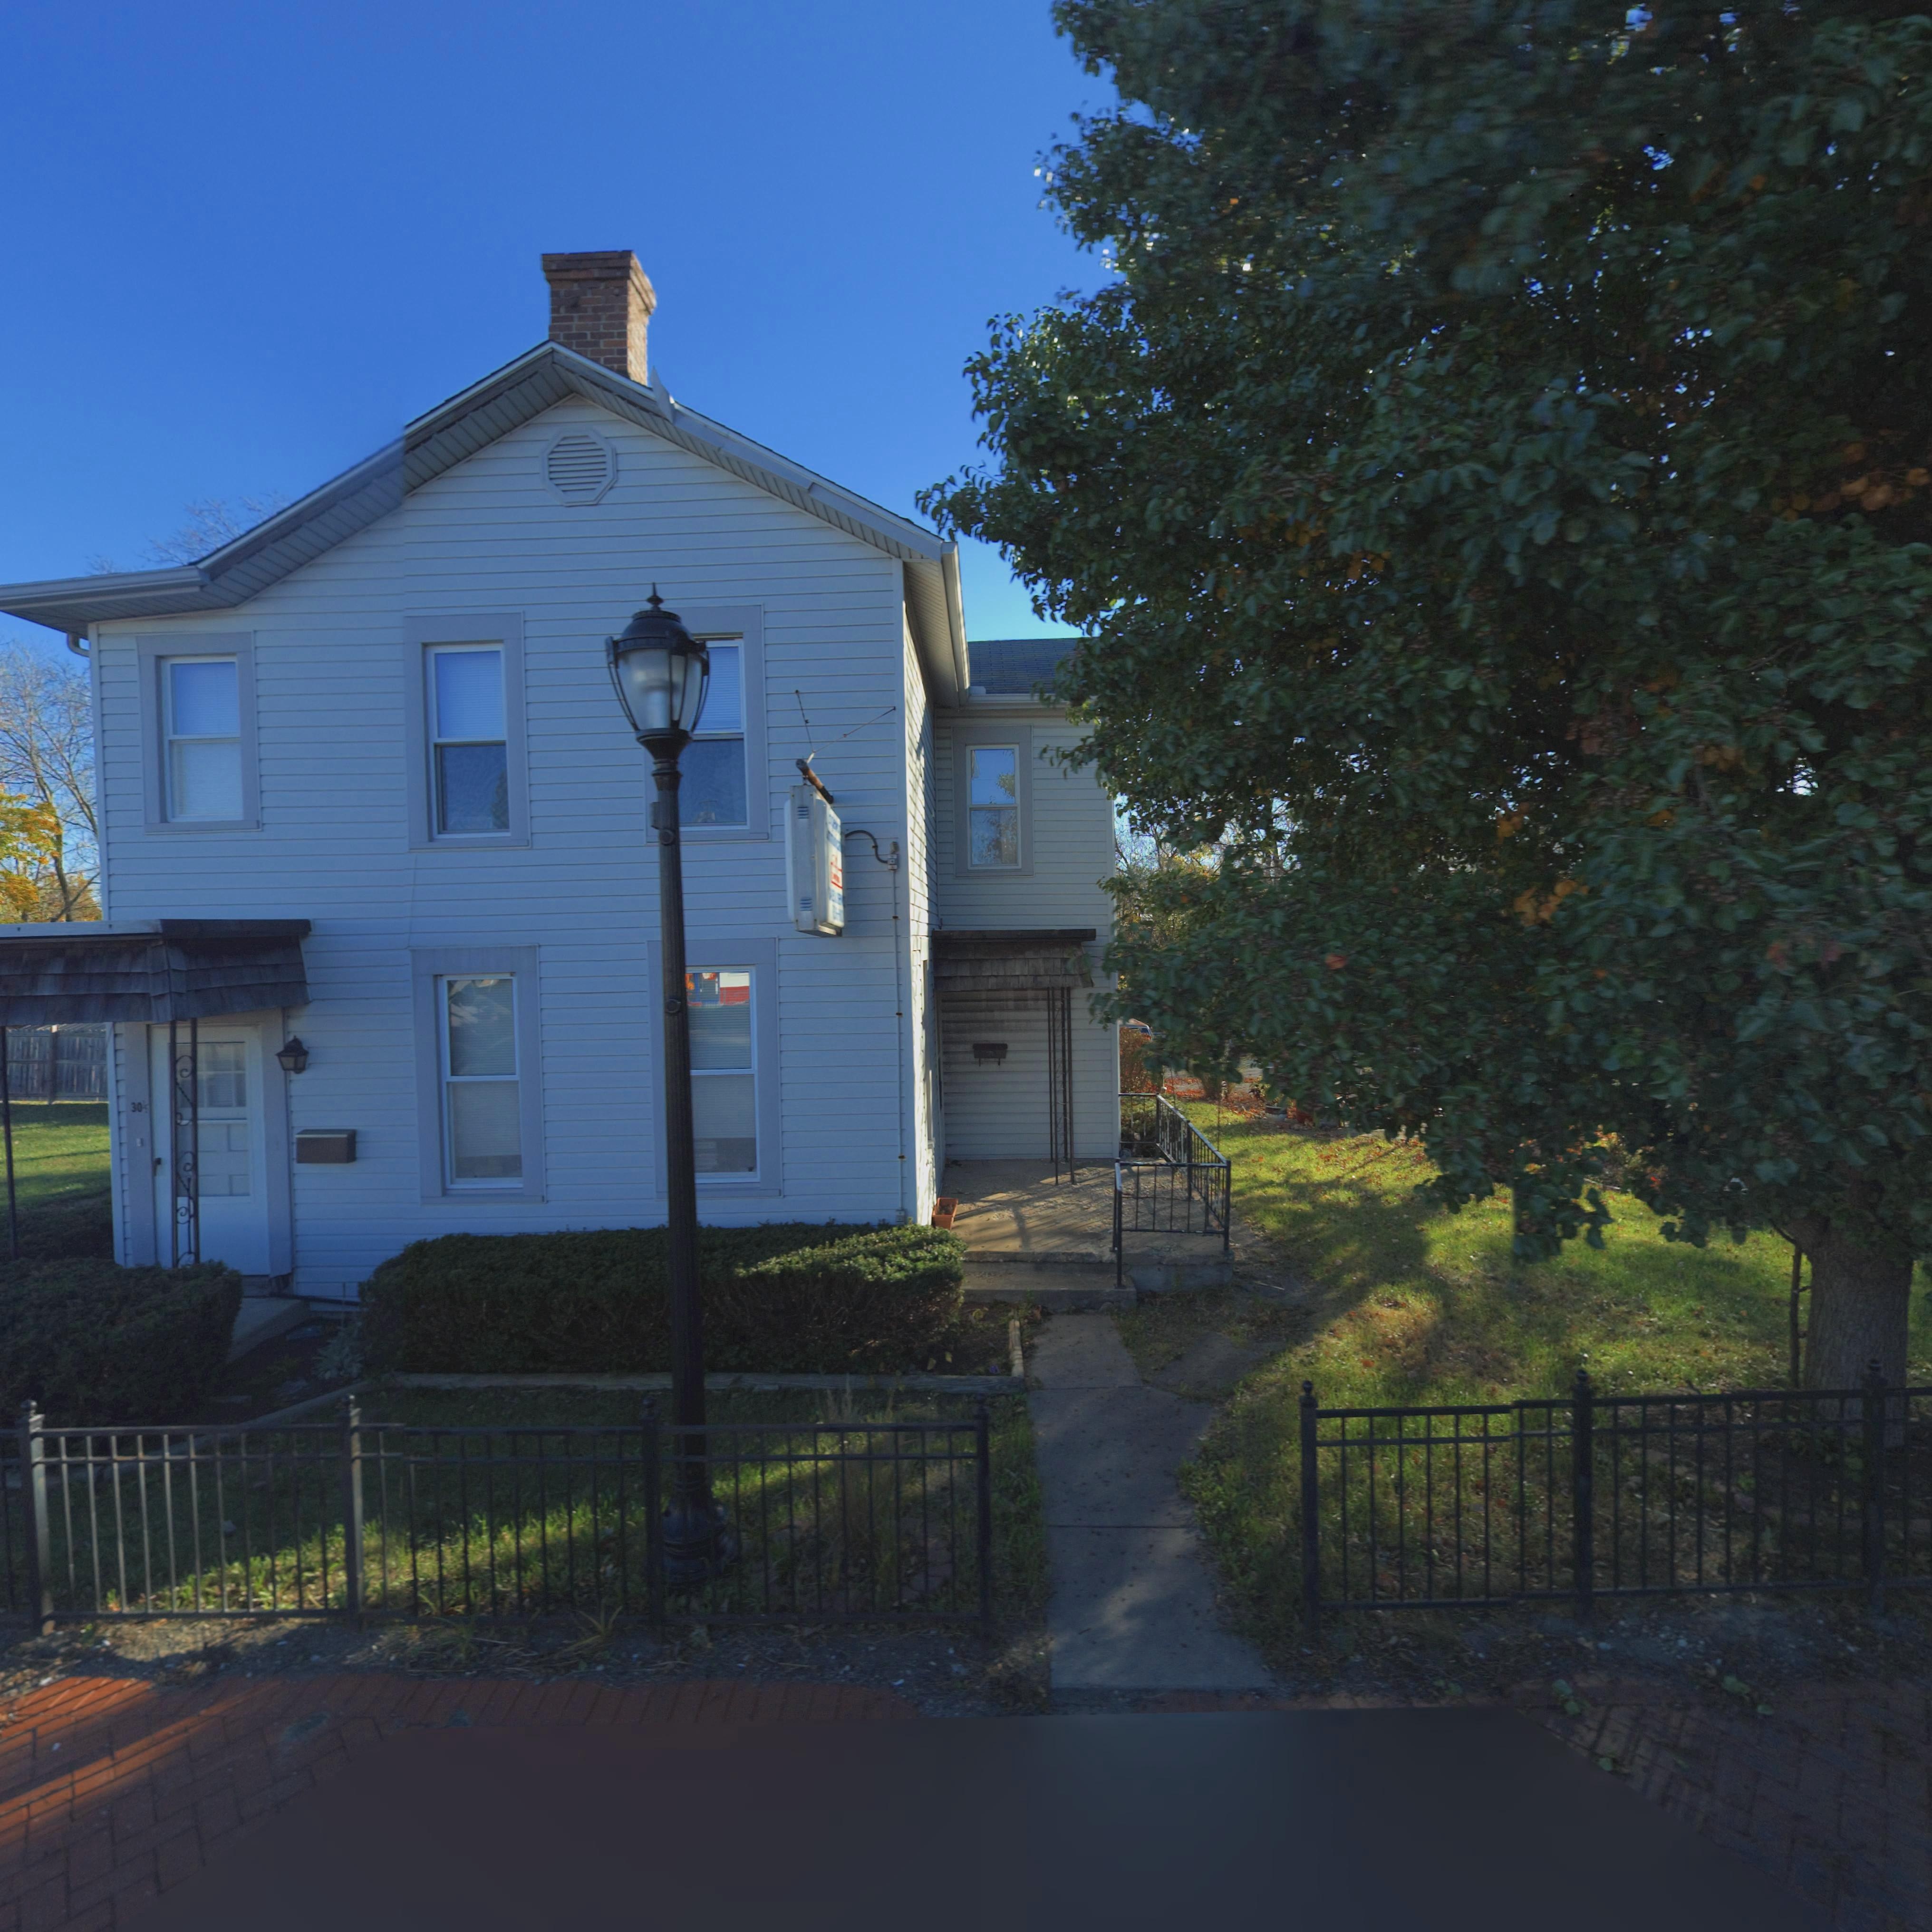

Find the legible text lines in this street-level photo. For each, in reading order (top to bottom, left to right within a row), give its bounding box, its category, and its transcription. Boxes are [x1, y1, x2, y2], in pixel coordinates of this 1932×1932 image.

[130, 1099, 150, 1115] StreetNumber: 30 1/2